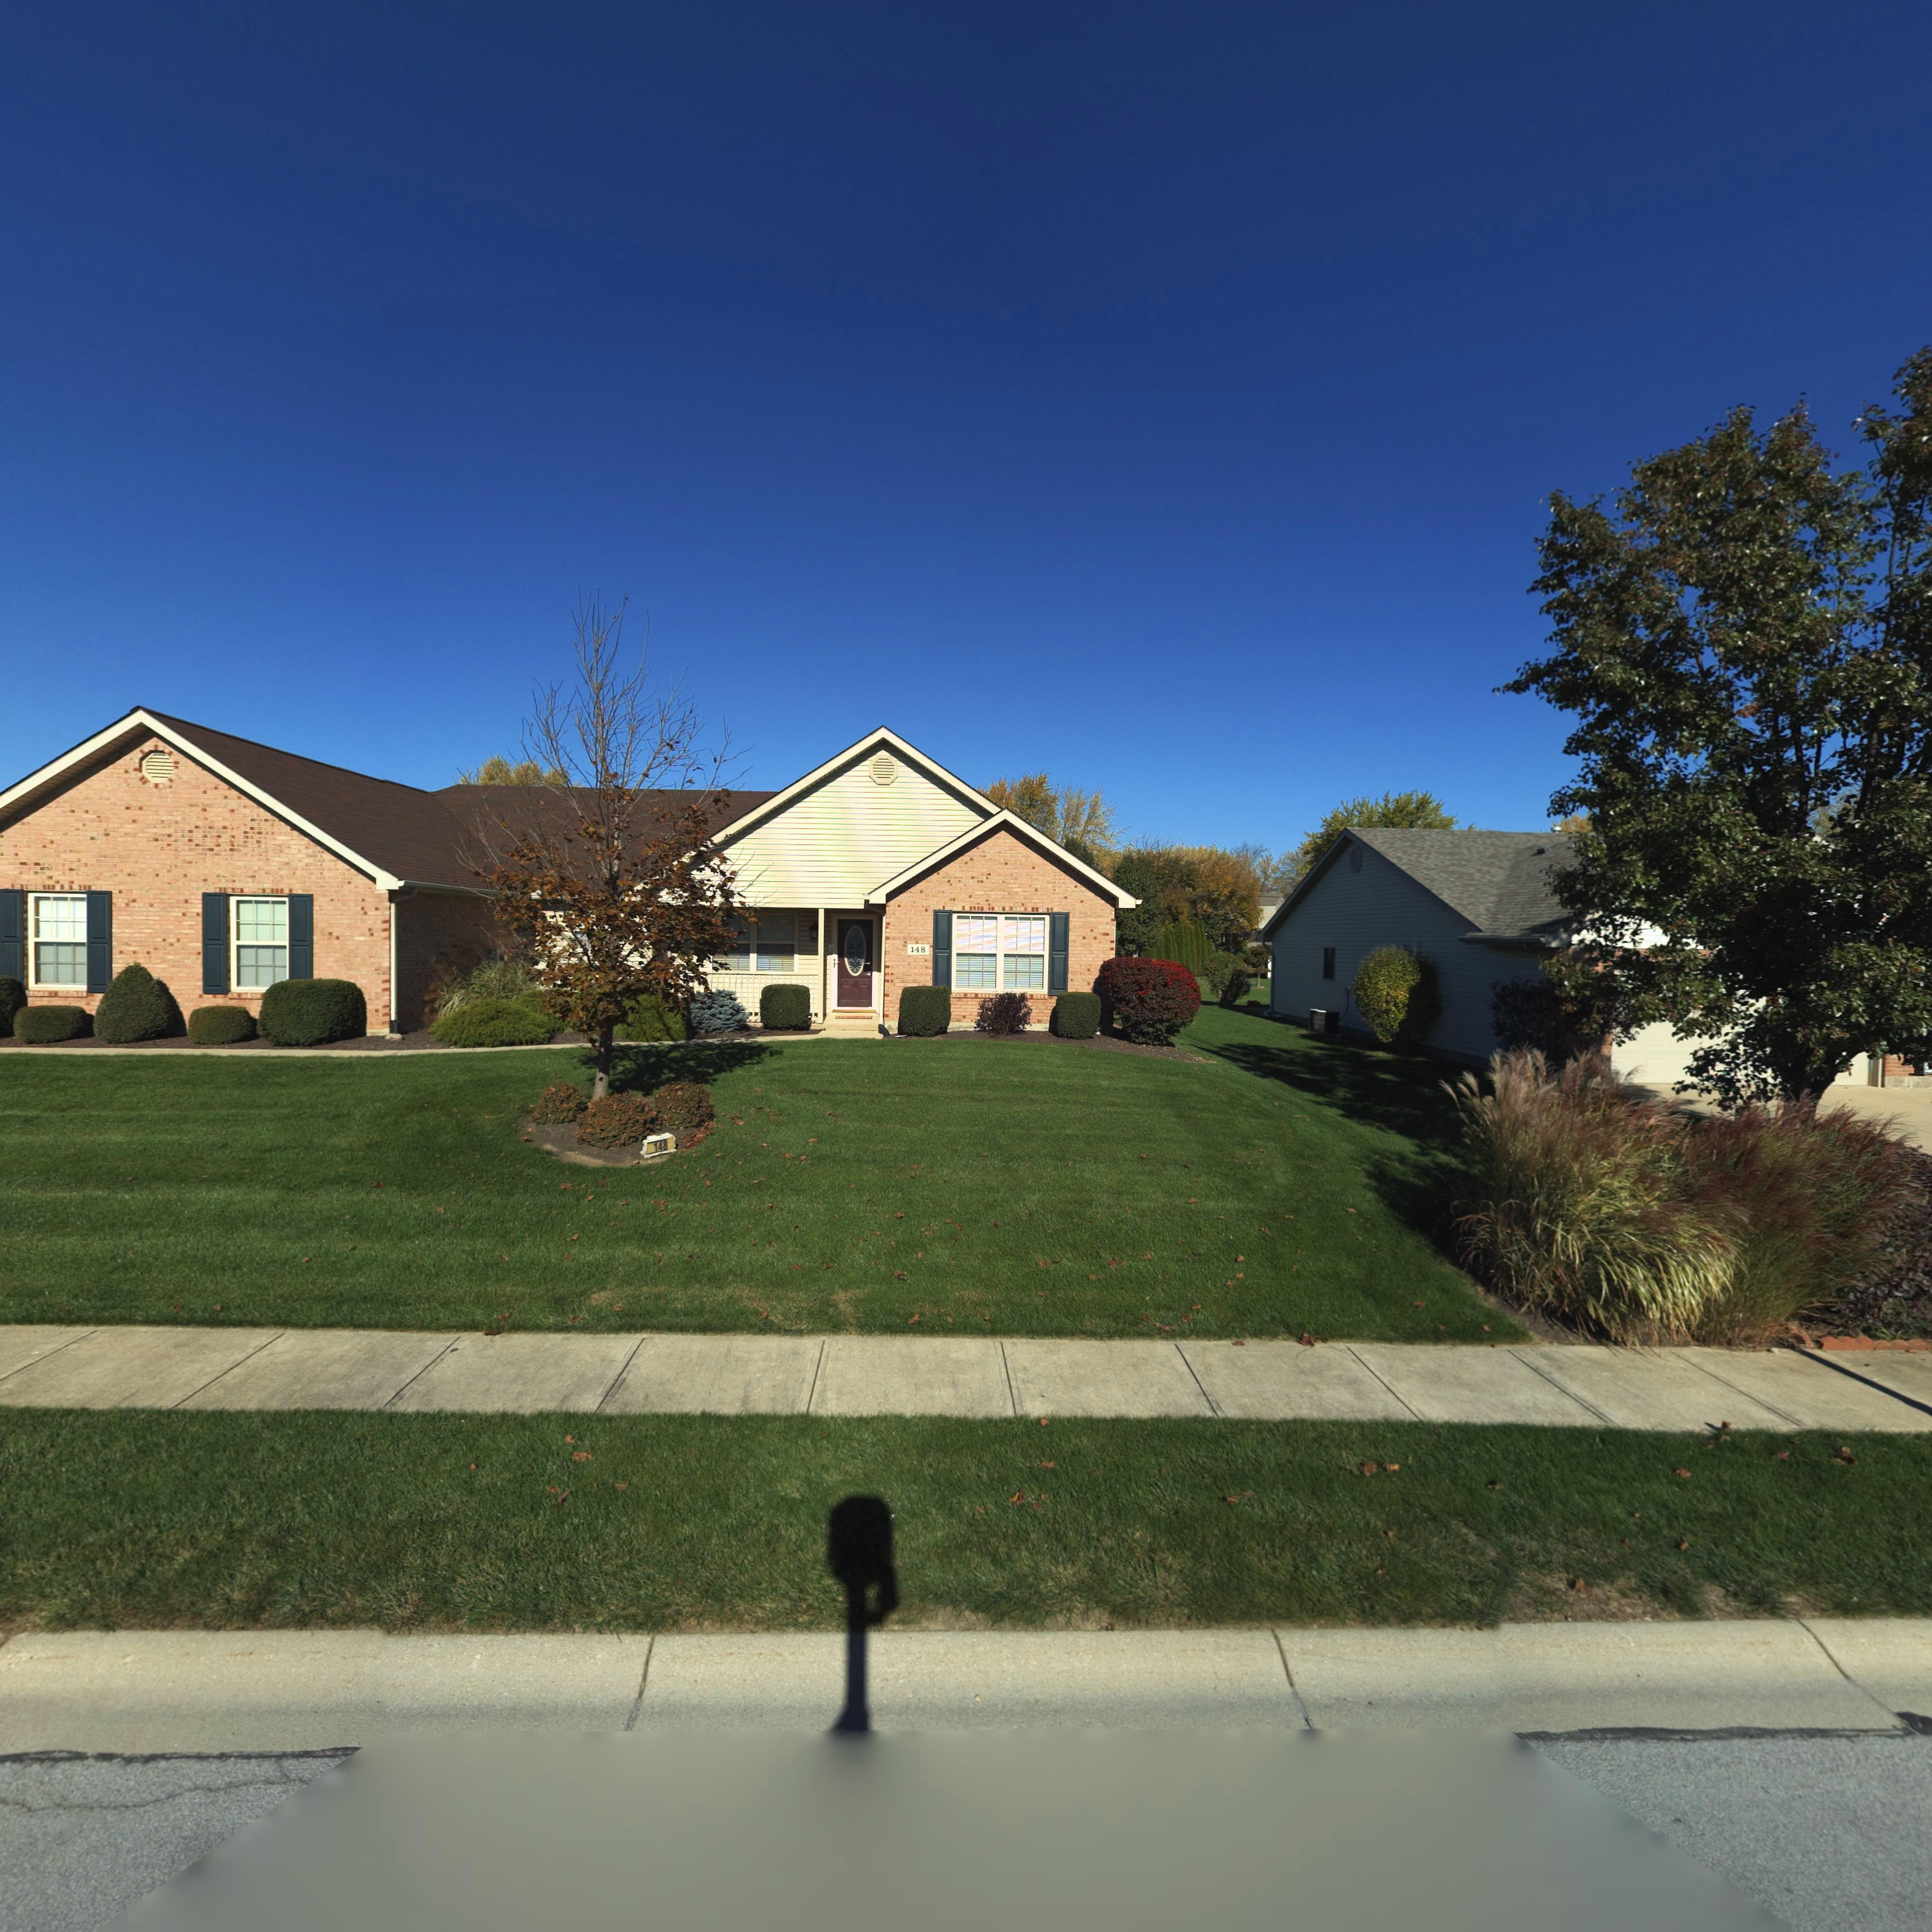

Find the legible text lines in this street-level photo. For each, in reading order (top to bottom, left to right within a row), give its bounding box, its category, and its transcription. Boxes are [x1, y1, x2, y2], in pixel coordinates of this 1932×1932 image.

[910, 946, 926, 953] StreetNumber: 148
[653, 1140, 668, 1152] StreetNumber: 148